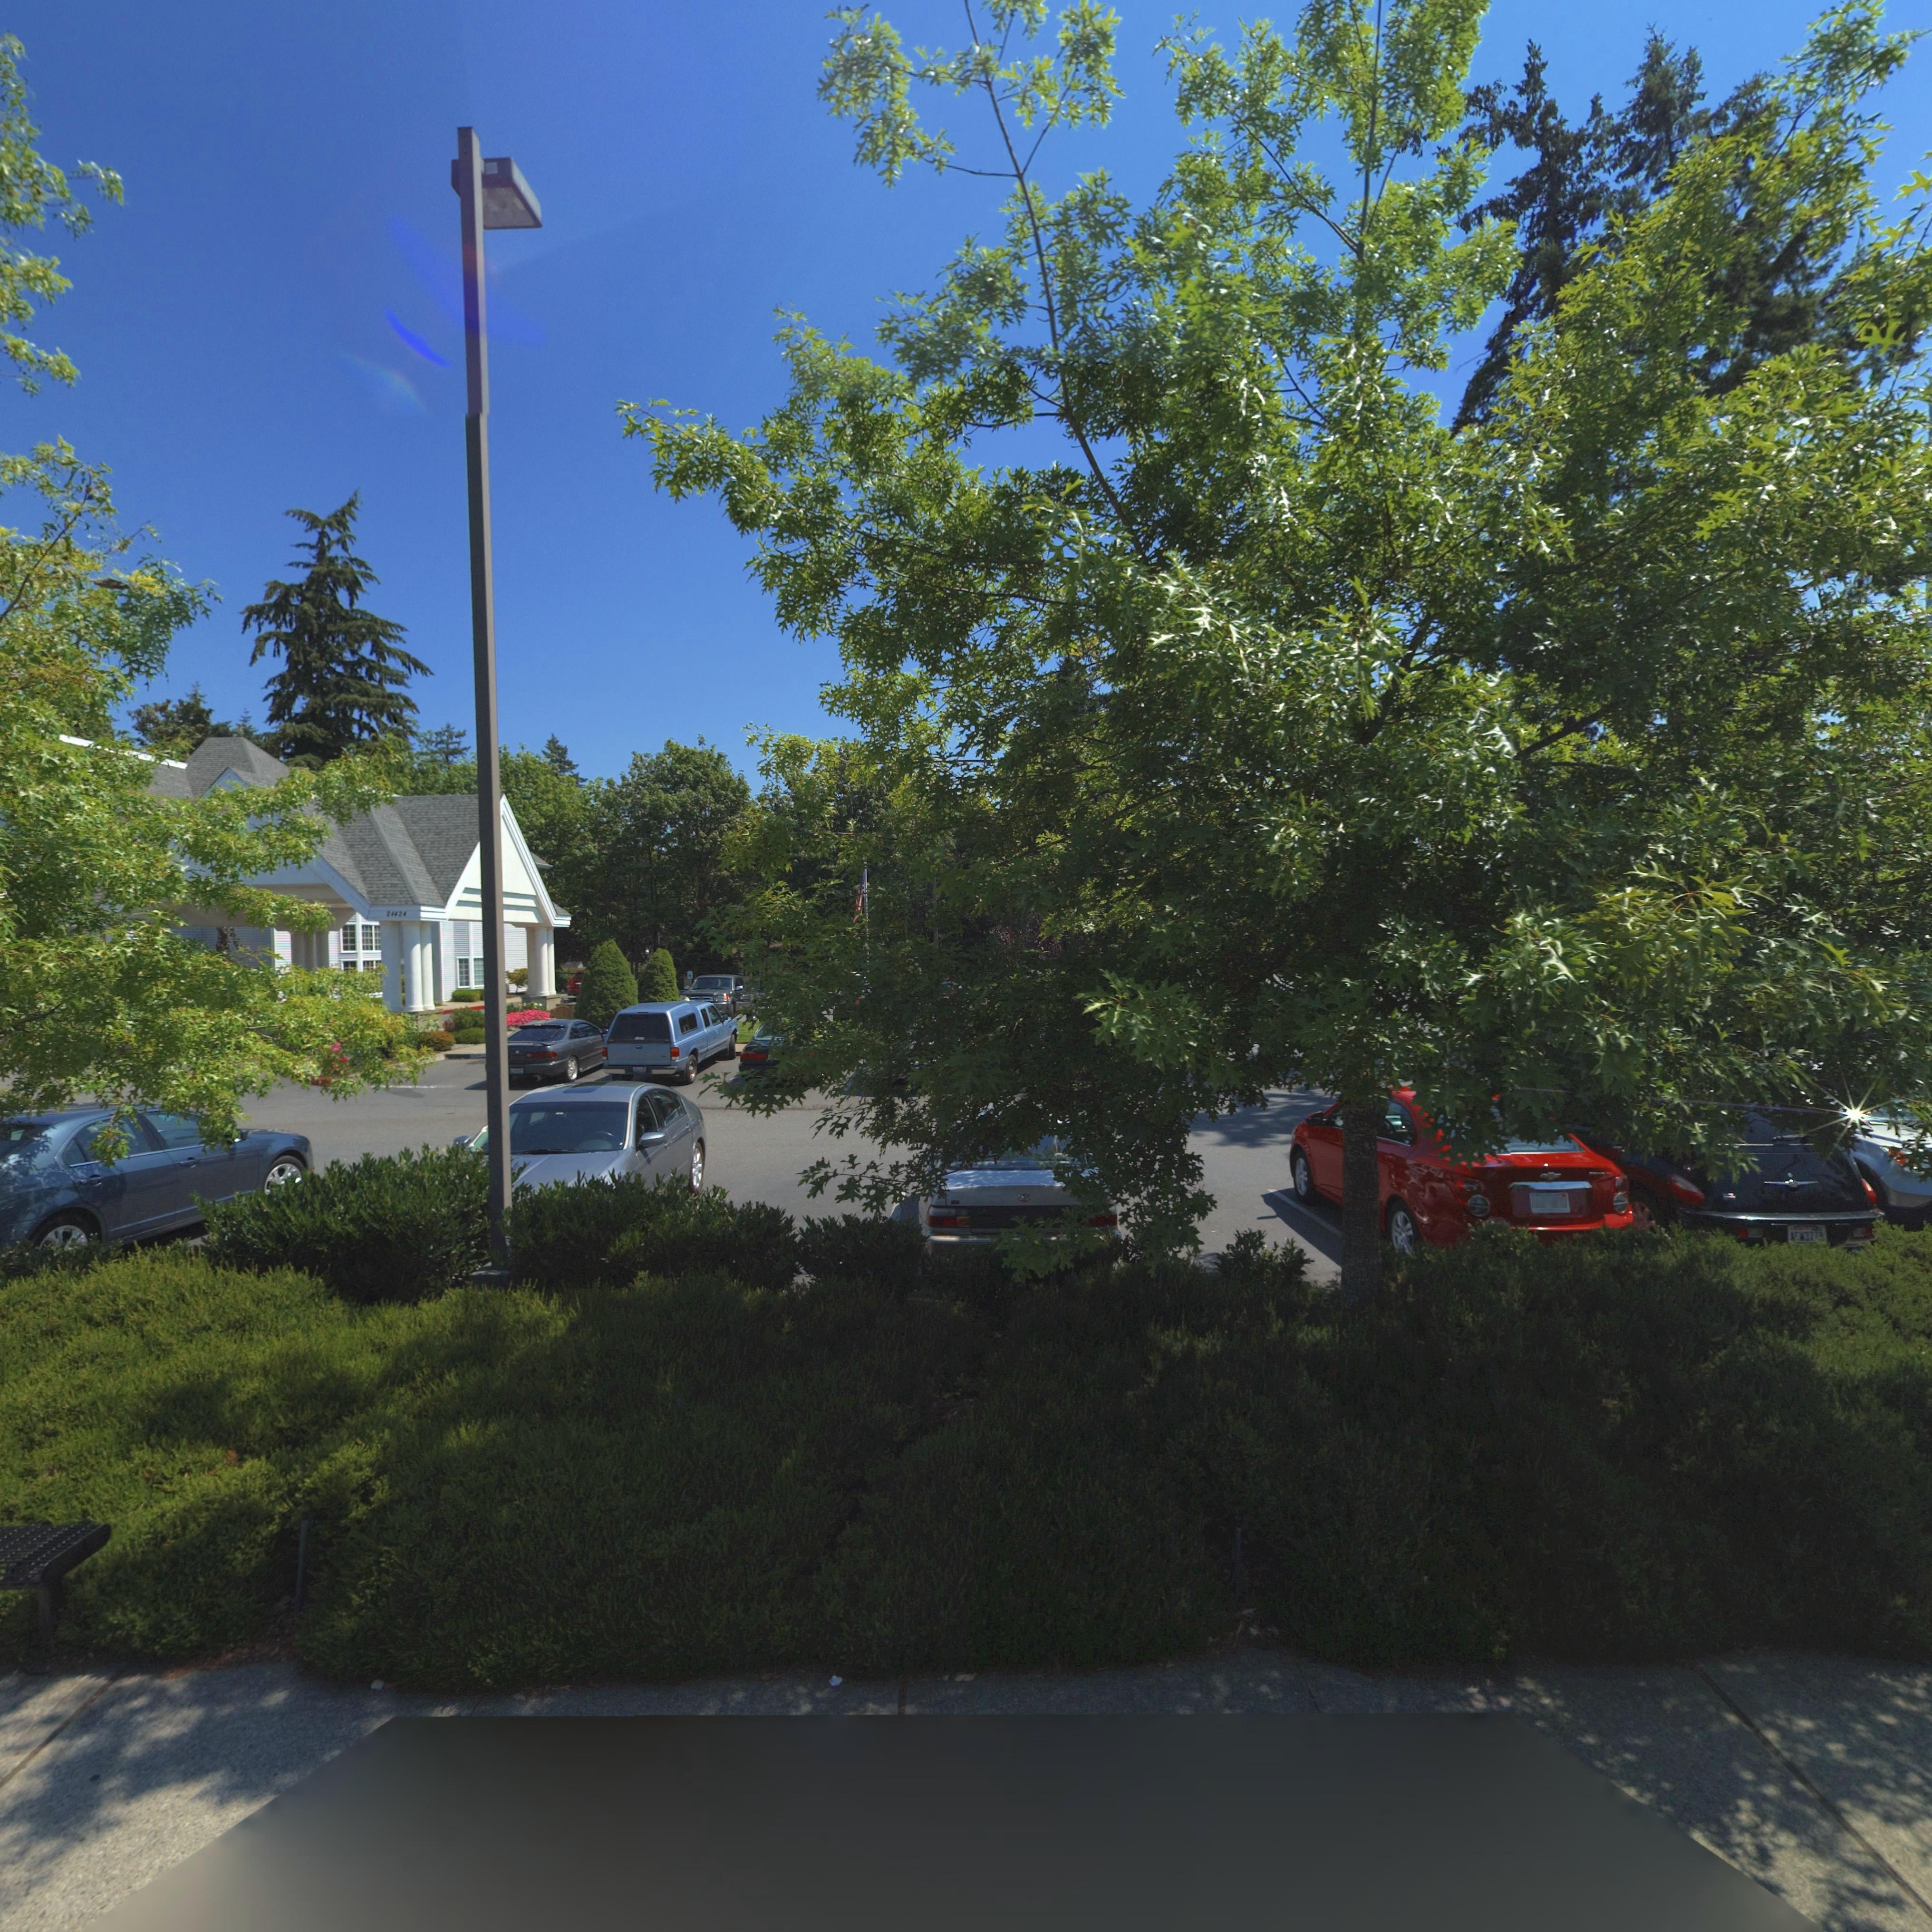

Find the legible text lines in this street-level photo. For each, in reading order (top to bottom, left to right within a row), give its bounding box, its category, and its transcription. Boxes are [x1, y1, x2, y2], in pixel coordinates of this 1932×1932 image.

[386, 909, 407, 917] StreetNumber: 2**2*